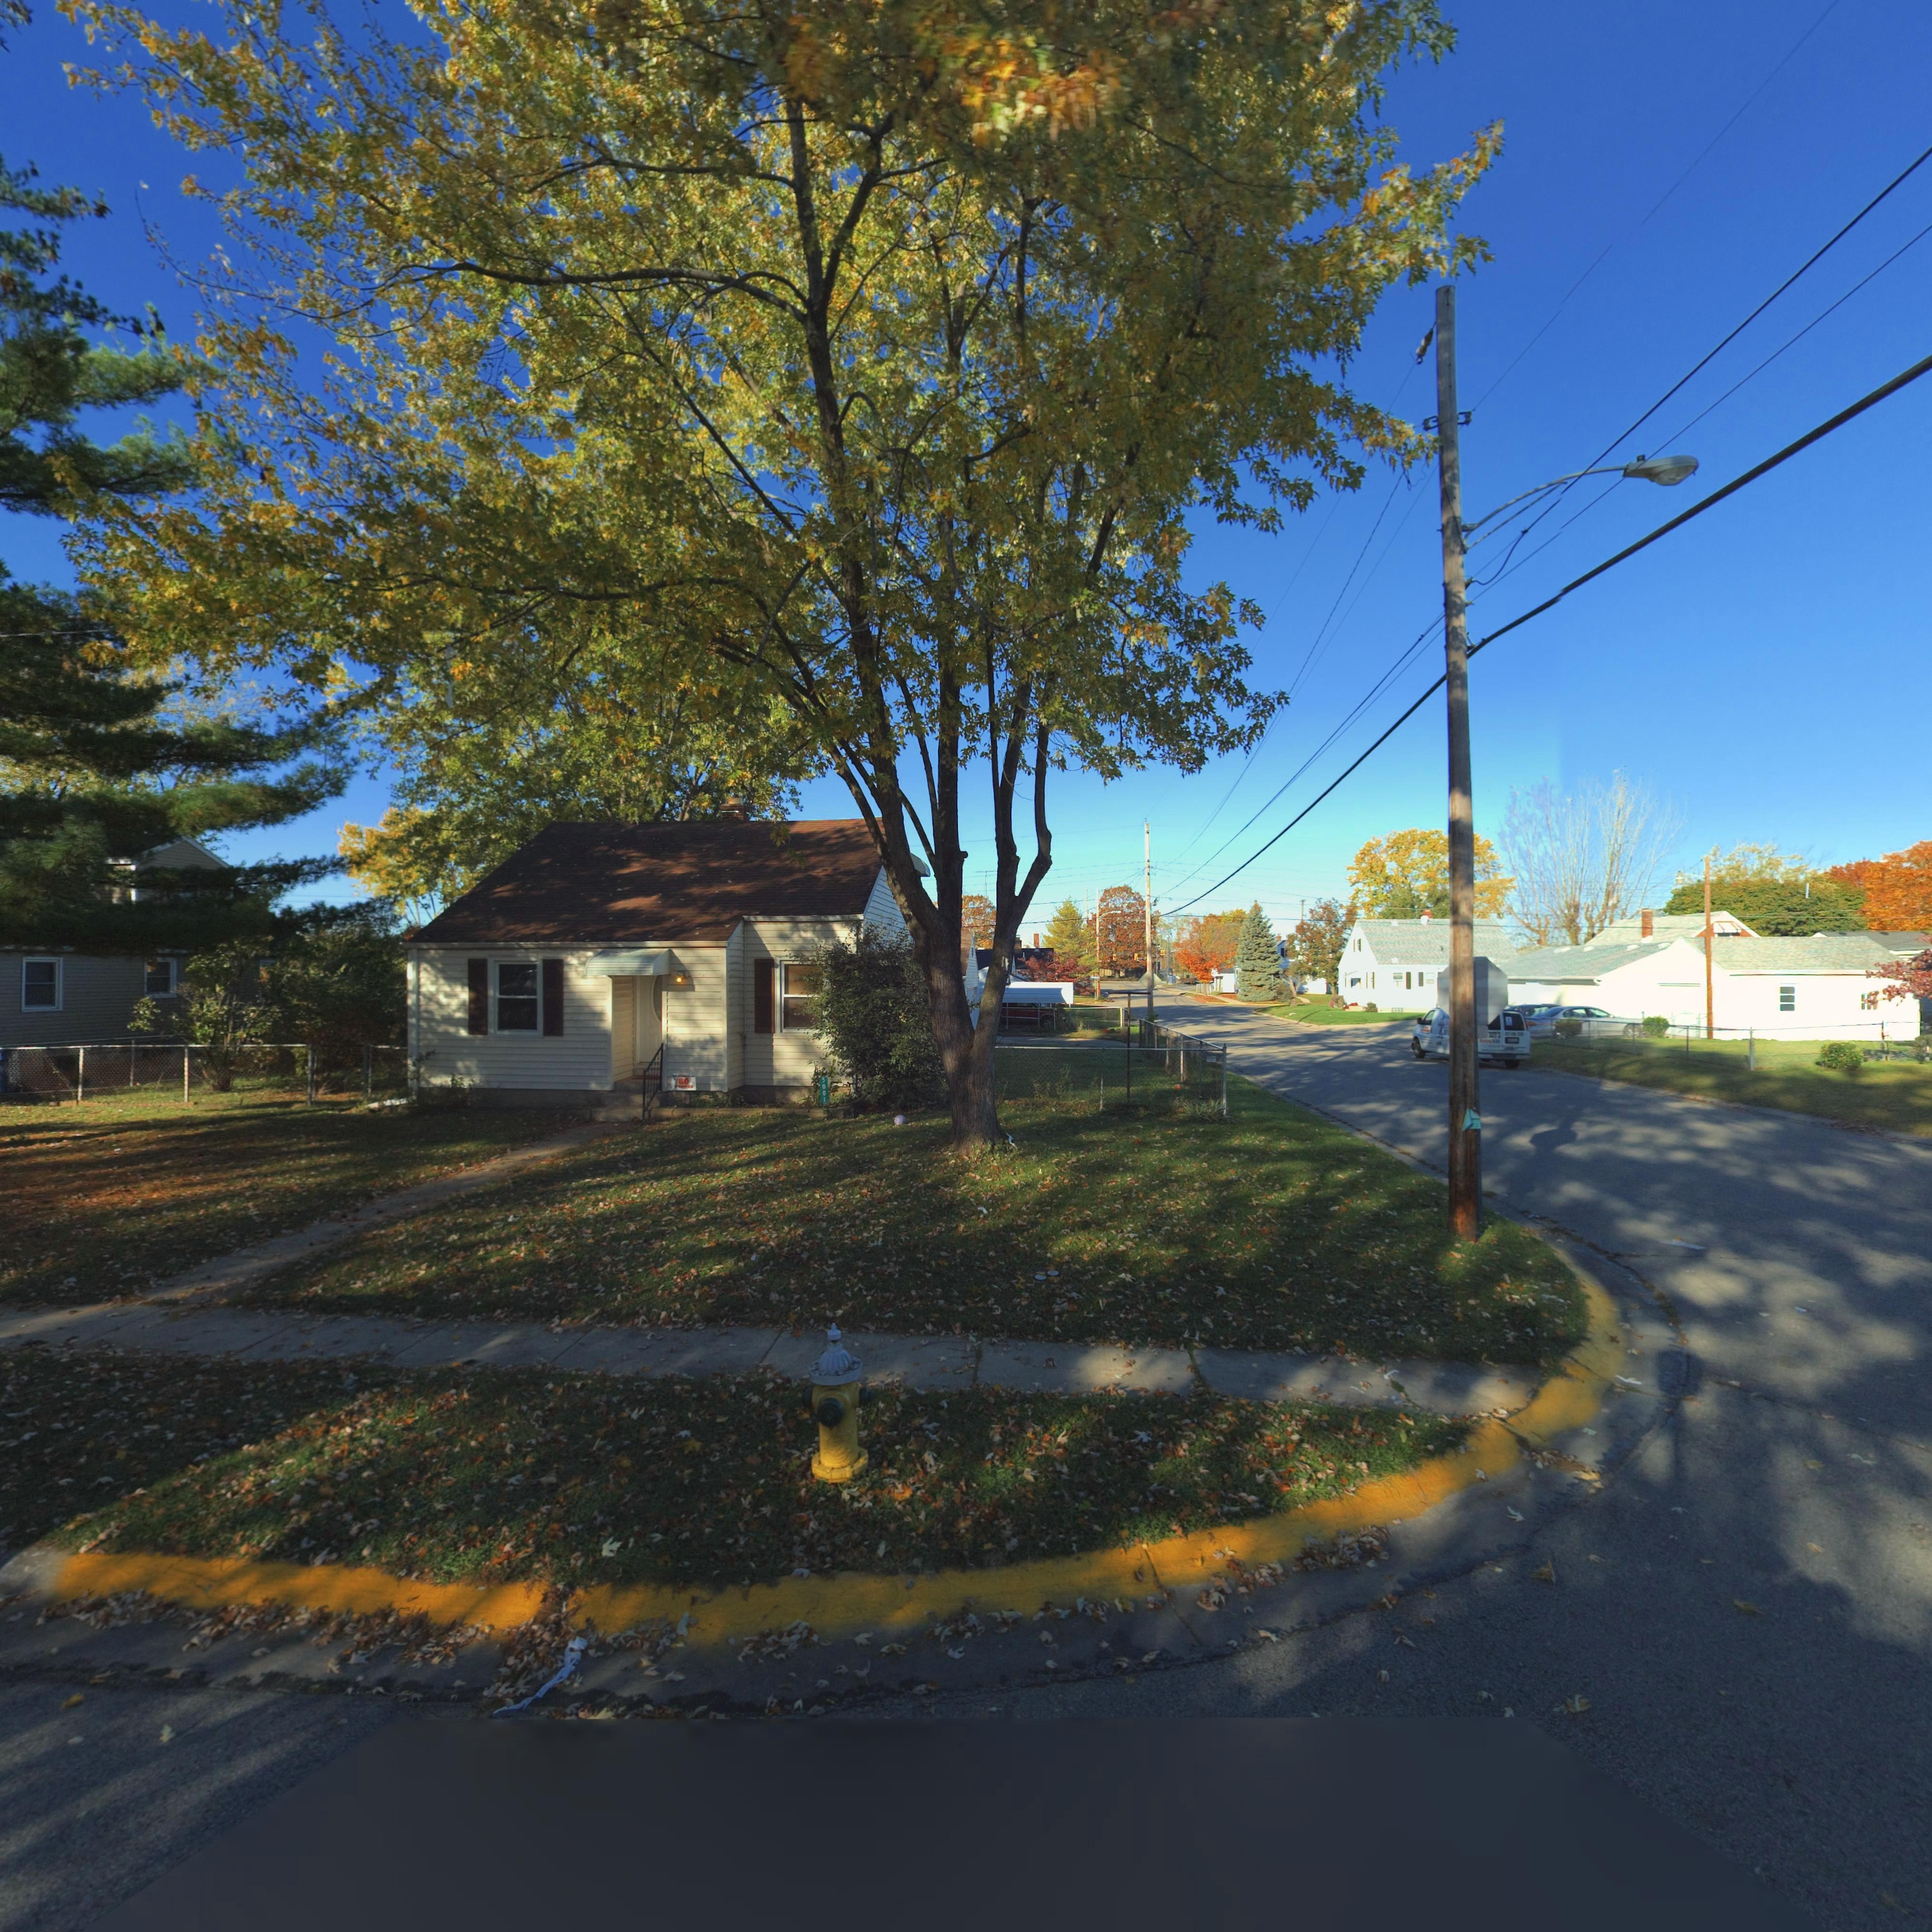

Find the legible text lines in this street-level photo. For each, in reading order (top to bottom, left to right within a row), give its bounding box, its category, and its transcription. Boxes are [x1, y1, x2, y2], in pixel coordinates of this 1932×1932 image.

[821, 1077, 827, 1102] StreetNumber: 5001